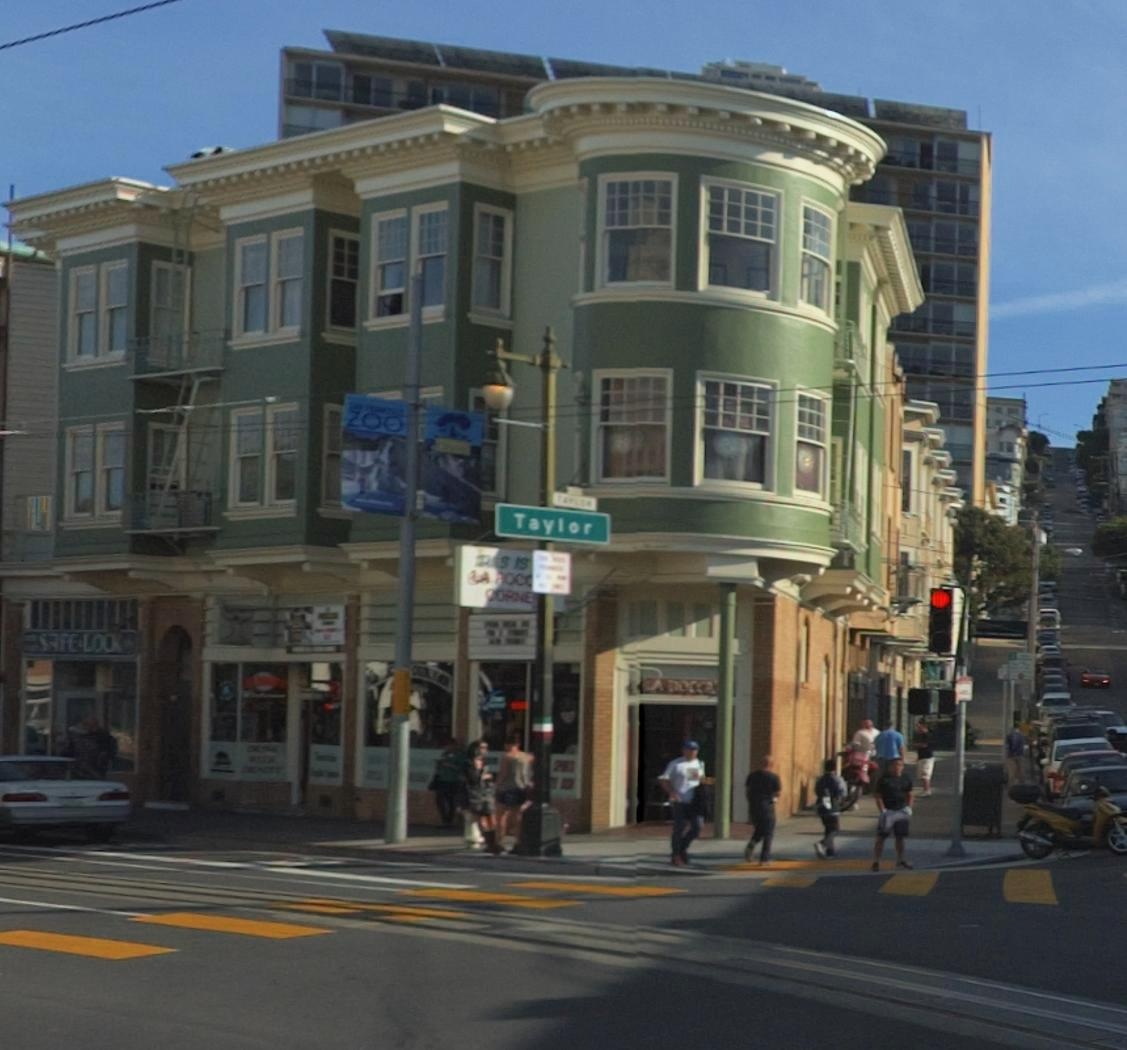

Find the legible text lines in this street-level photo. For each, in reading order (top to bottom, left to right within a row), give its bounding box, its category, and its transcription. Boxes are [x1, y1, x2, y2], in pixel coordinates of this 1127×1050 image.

[342, 405, 408, 437] None: ZOO
[554, 492, 595, 511] StreetName: Taylor
[510, 508, 599, 539] StreetName: Taylor
[508, 552, 534, 574] None: IS
[35, 629, 128, 657] BusinessName: SAFE LOCK